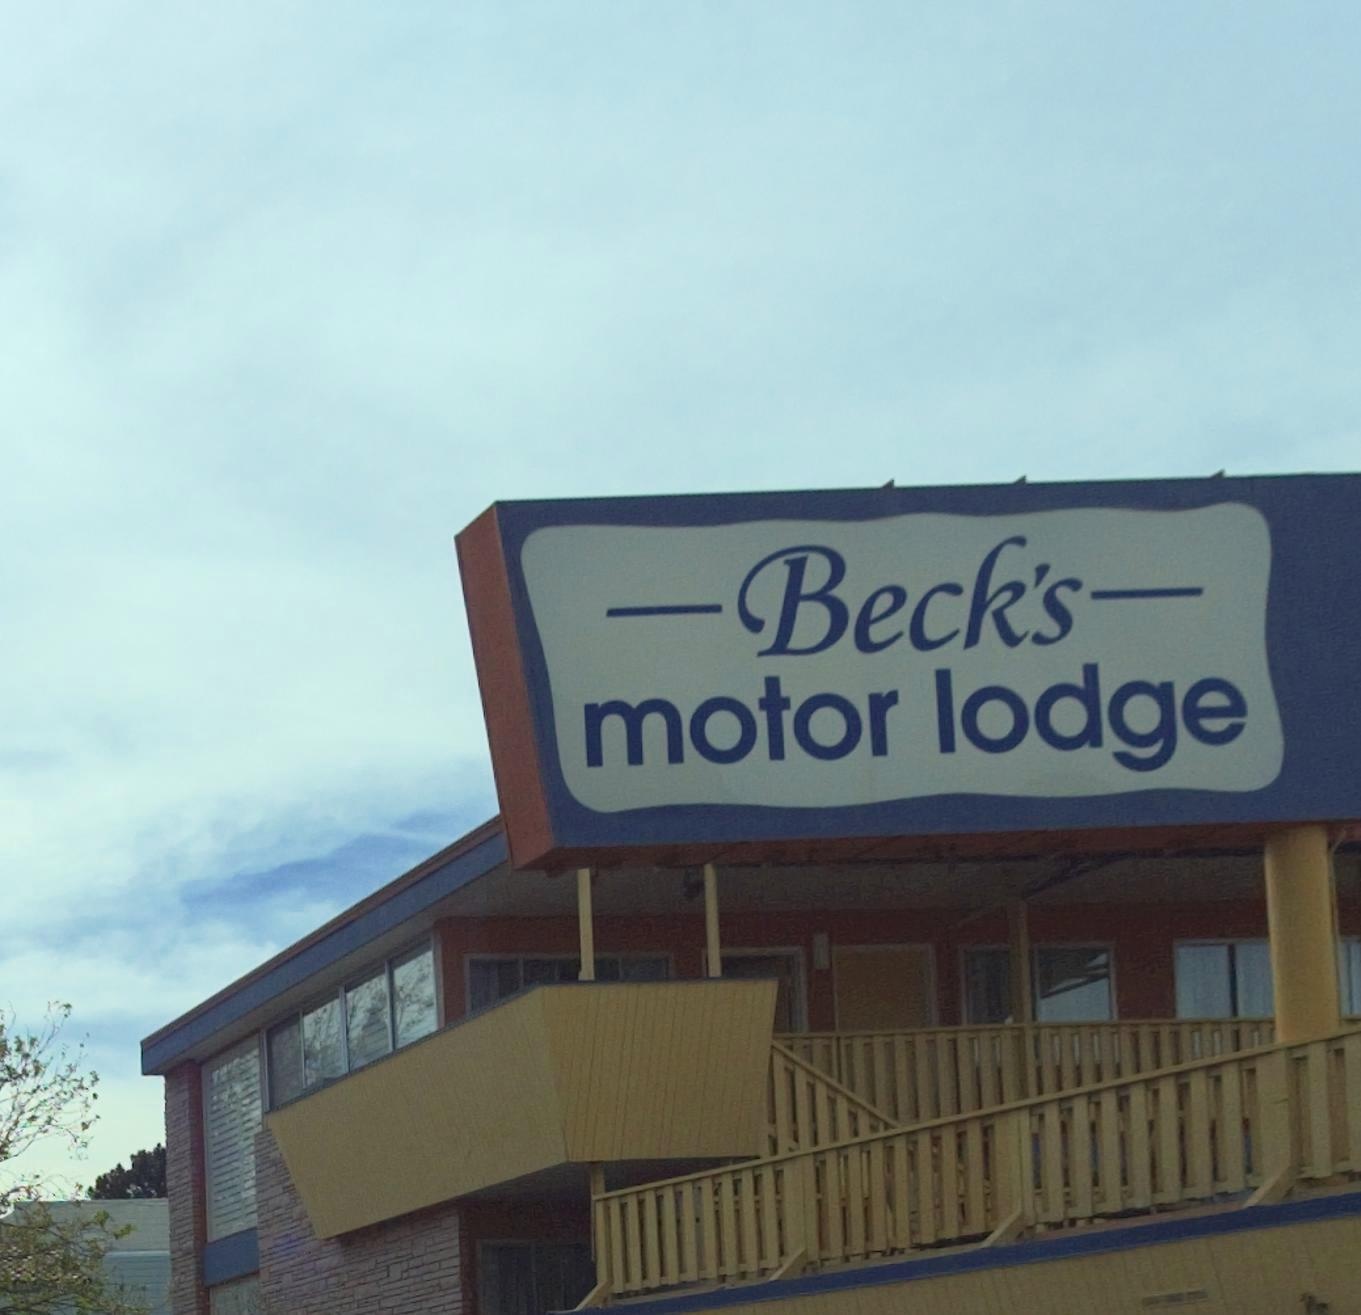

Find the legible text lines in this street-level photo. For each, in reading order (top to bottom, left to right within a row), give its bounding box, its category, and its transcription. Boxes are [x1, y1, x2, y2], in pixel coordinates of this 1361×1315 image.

[721, 530, 1090, 665] BusinessName: Beck's
[576, 656, 1258, 781] BusinessName: motor lodge